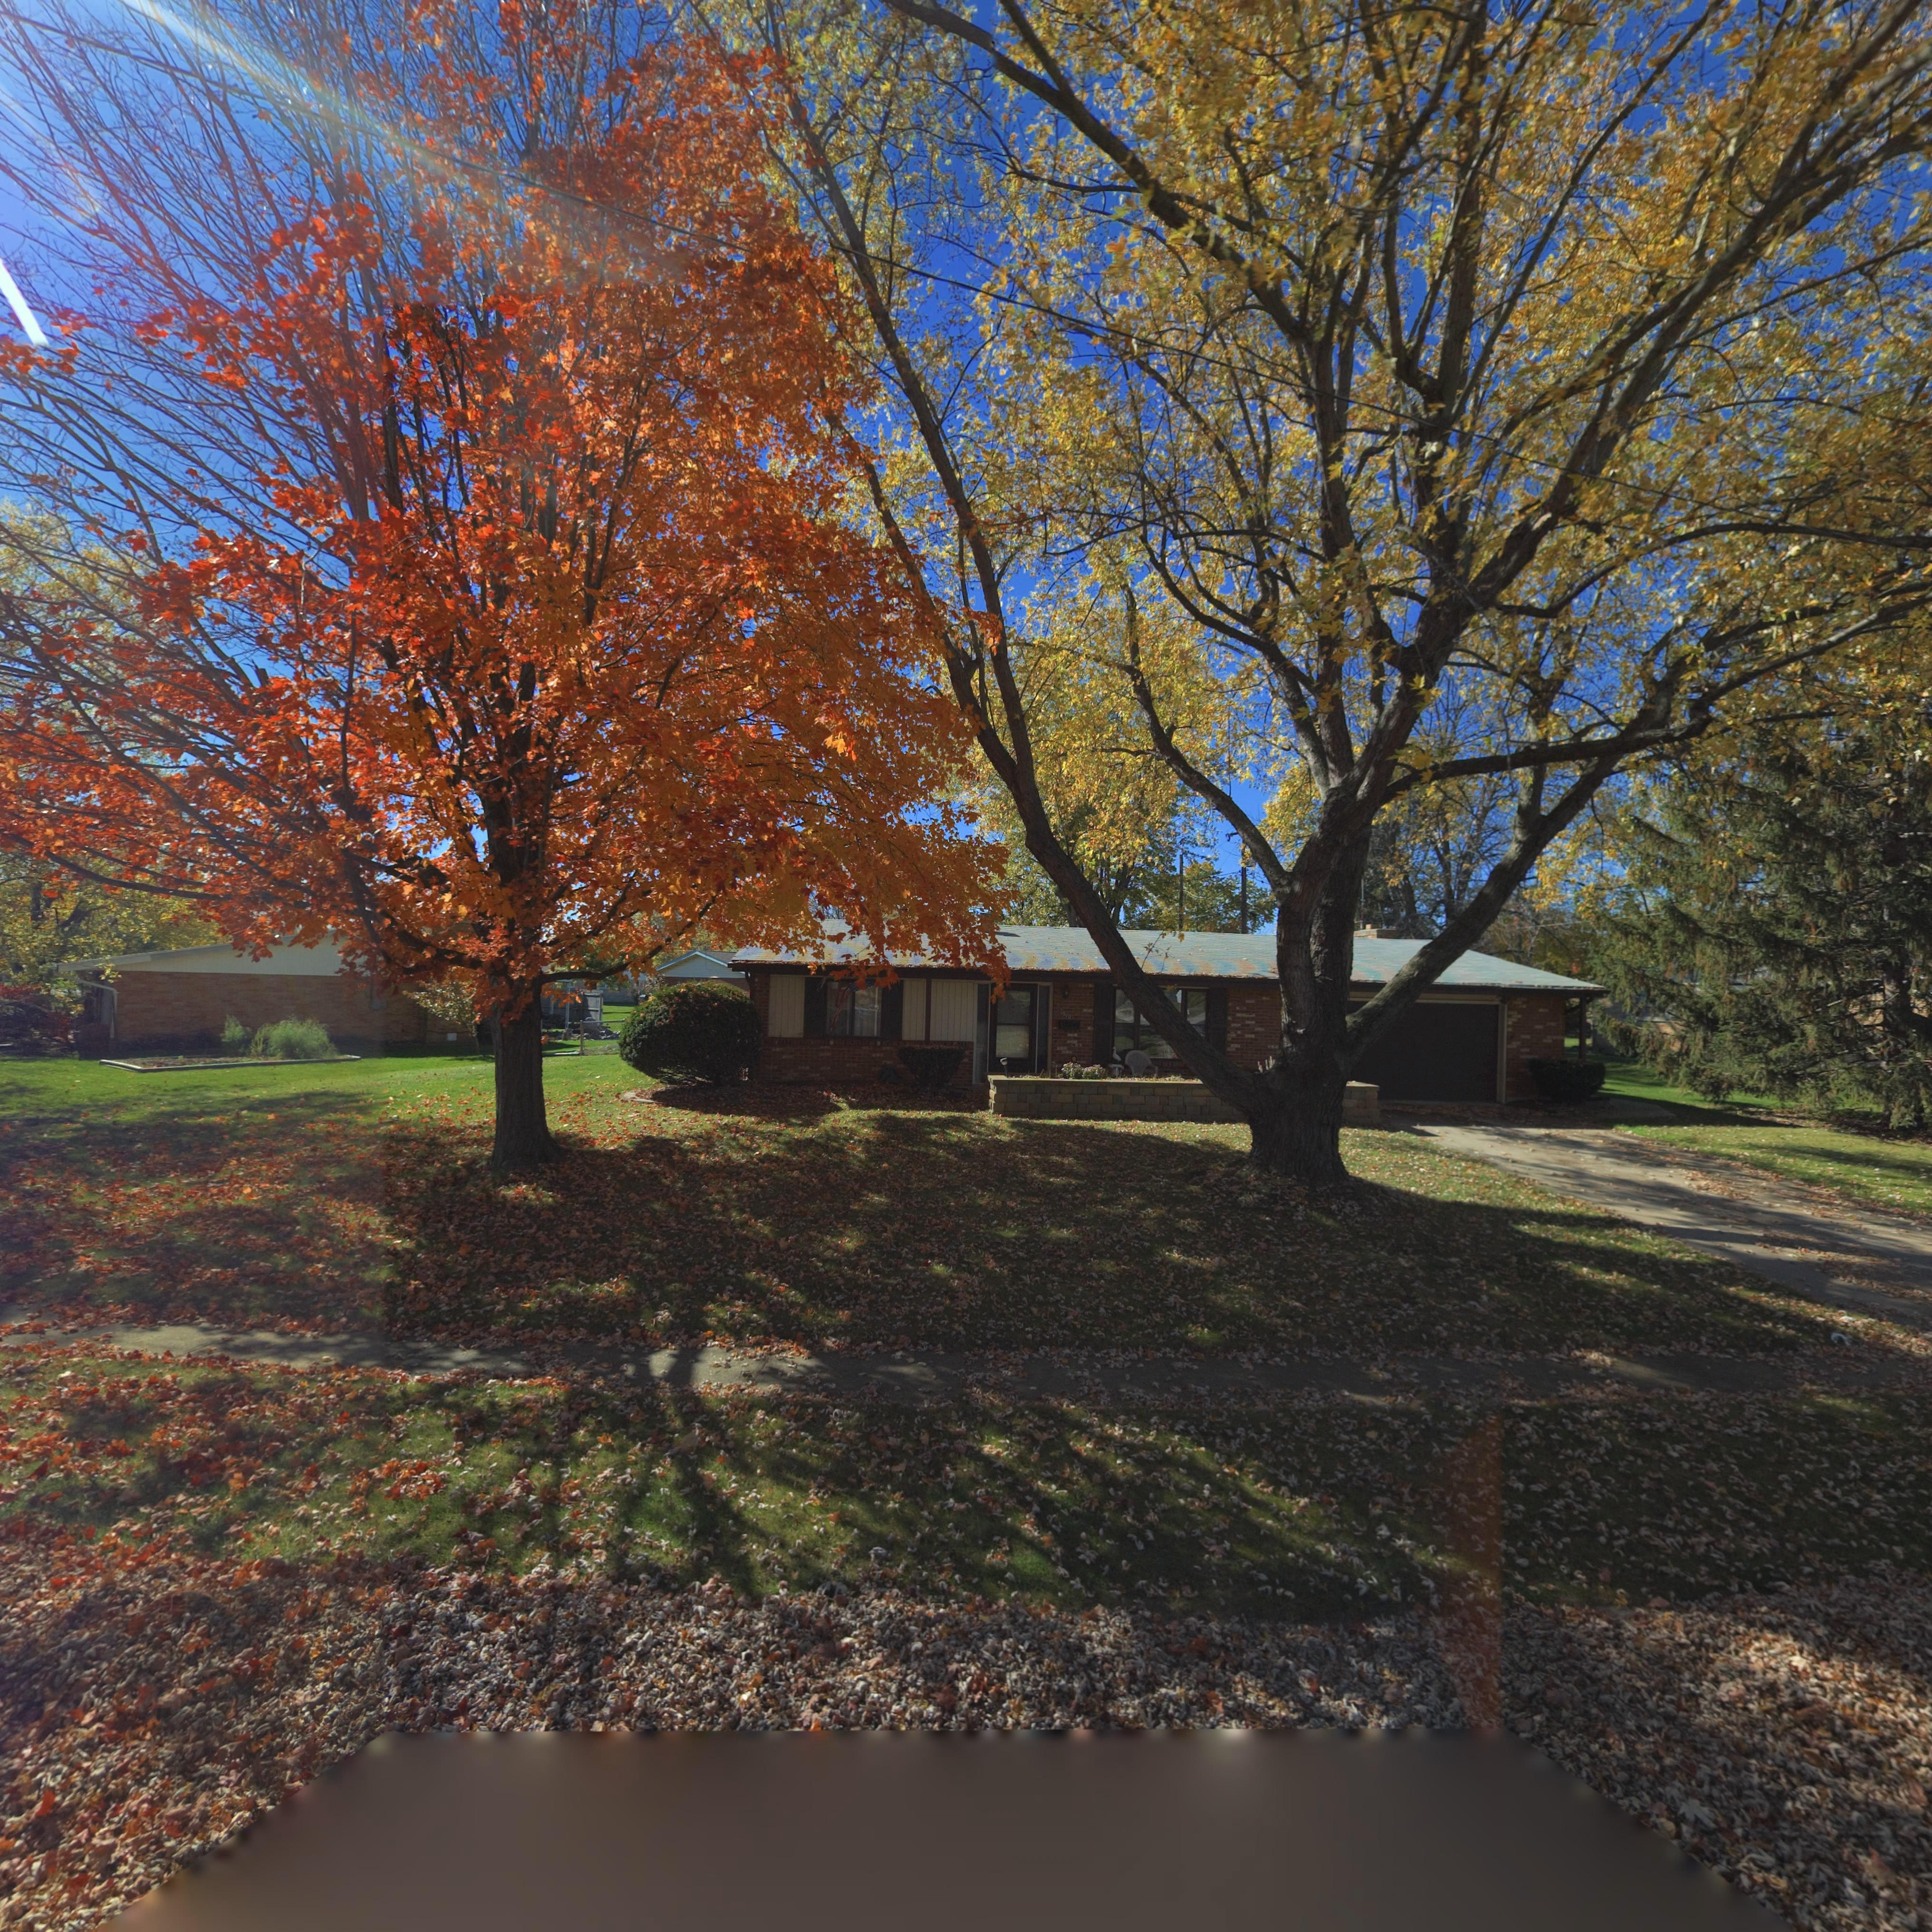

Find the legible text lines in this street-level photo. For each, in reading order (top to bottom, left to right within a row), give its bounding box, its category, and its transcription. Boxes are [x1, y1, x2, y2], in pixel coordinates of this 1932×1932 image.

[1060, 1011, 1072, 1019] StreetNumber: 1010